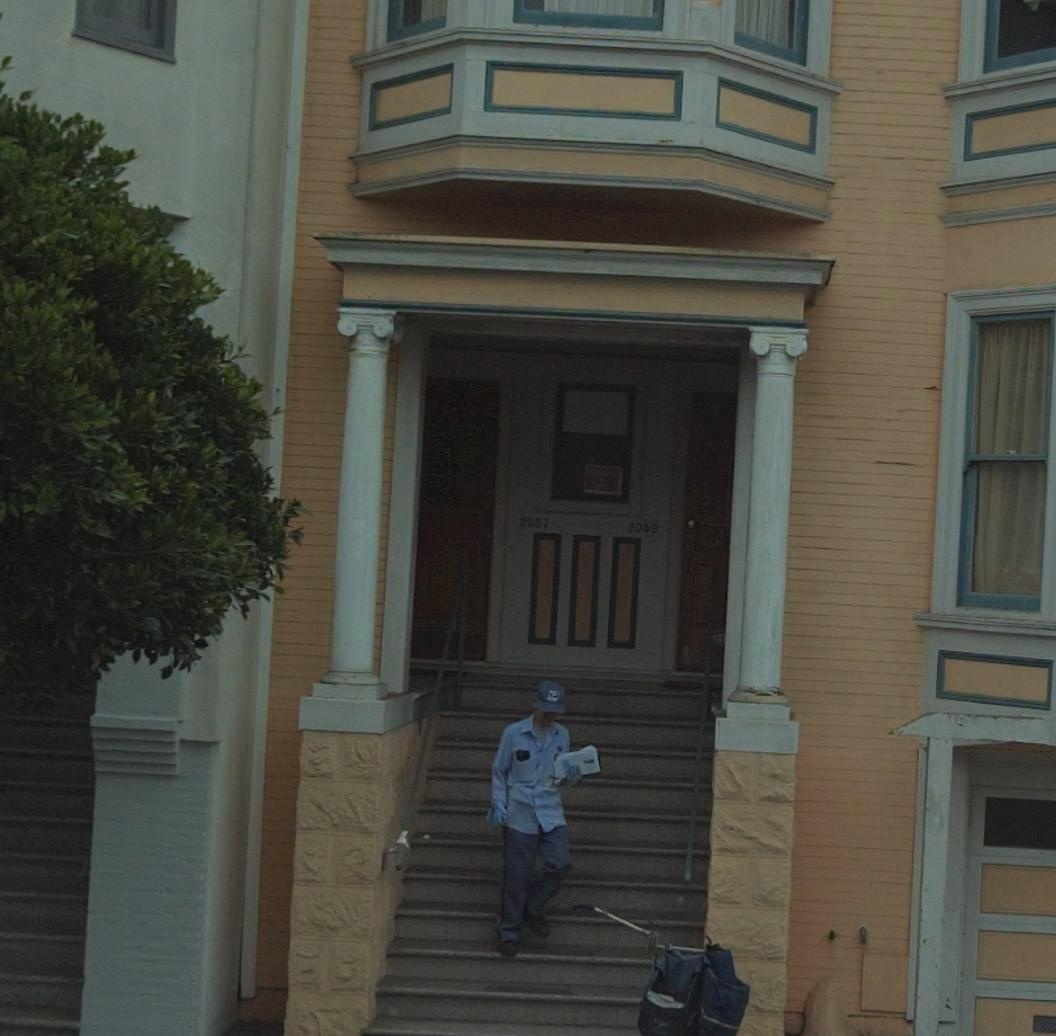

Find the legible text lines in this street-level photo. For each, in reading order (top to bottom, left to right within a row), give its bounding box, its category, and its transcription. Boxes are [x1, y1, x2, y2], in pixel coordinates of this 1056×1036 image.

[517, 514, 551, 531] StreetNumber: 2057
[627, 520, 657, 535] StreetNumber: 2059